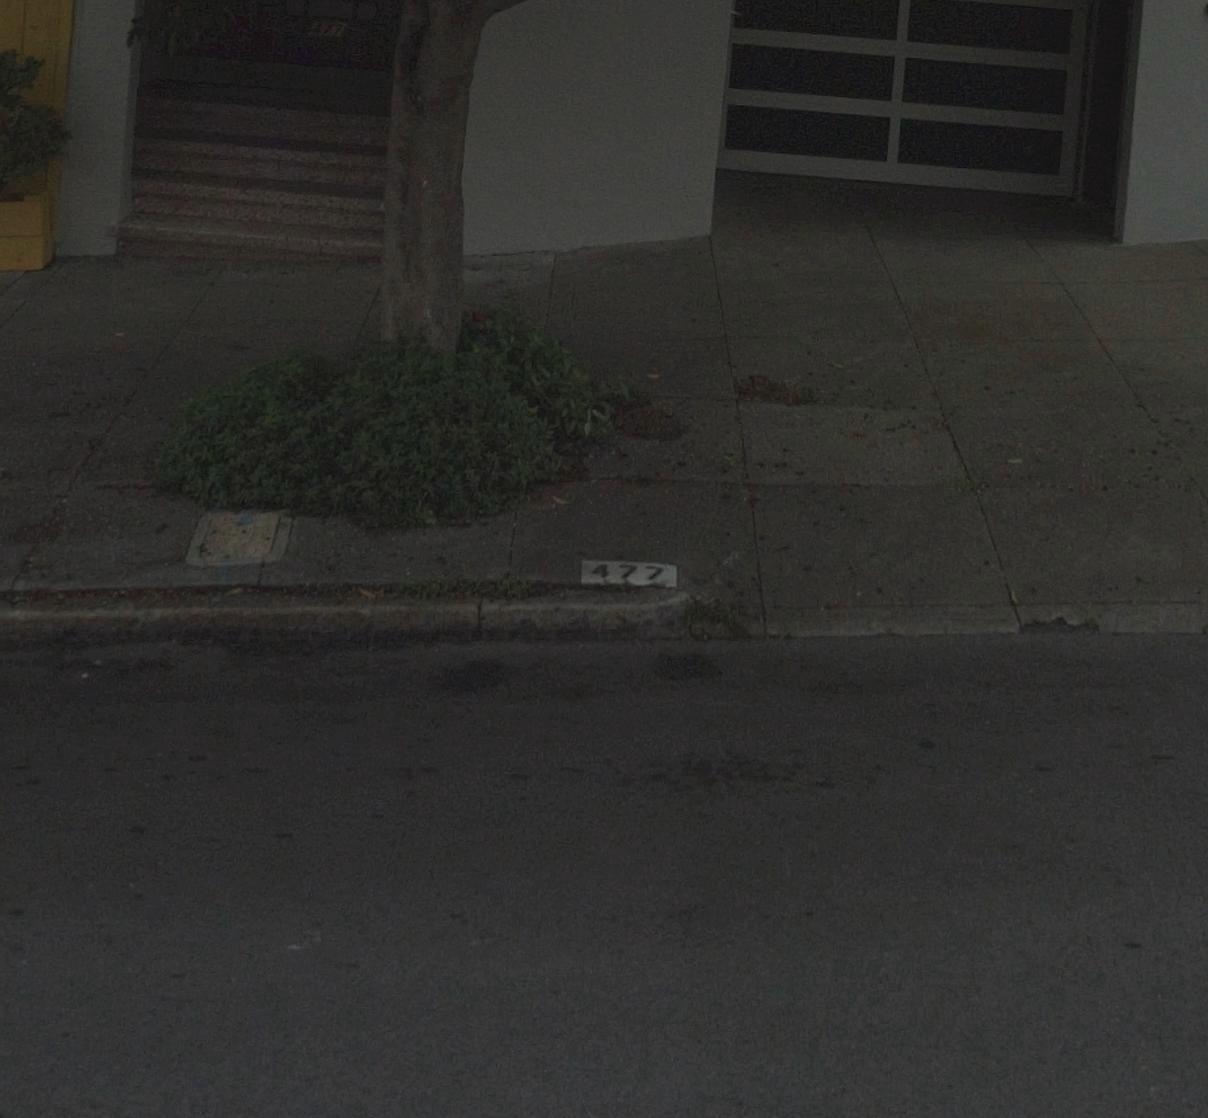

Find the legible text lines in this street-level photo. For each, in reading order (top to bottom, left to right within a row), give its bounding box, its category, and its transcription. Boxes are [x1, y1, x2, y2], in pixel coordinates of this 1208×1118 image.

[587, 562, 670, 582] StreetNumber: 477